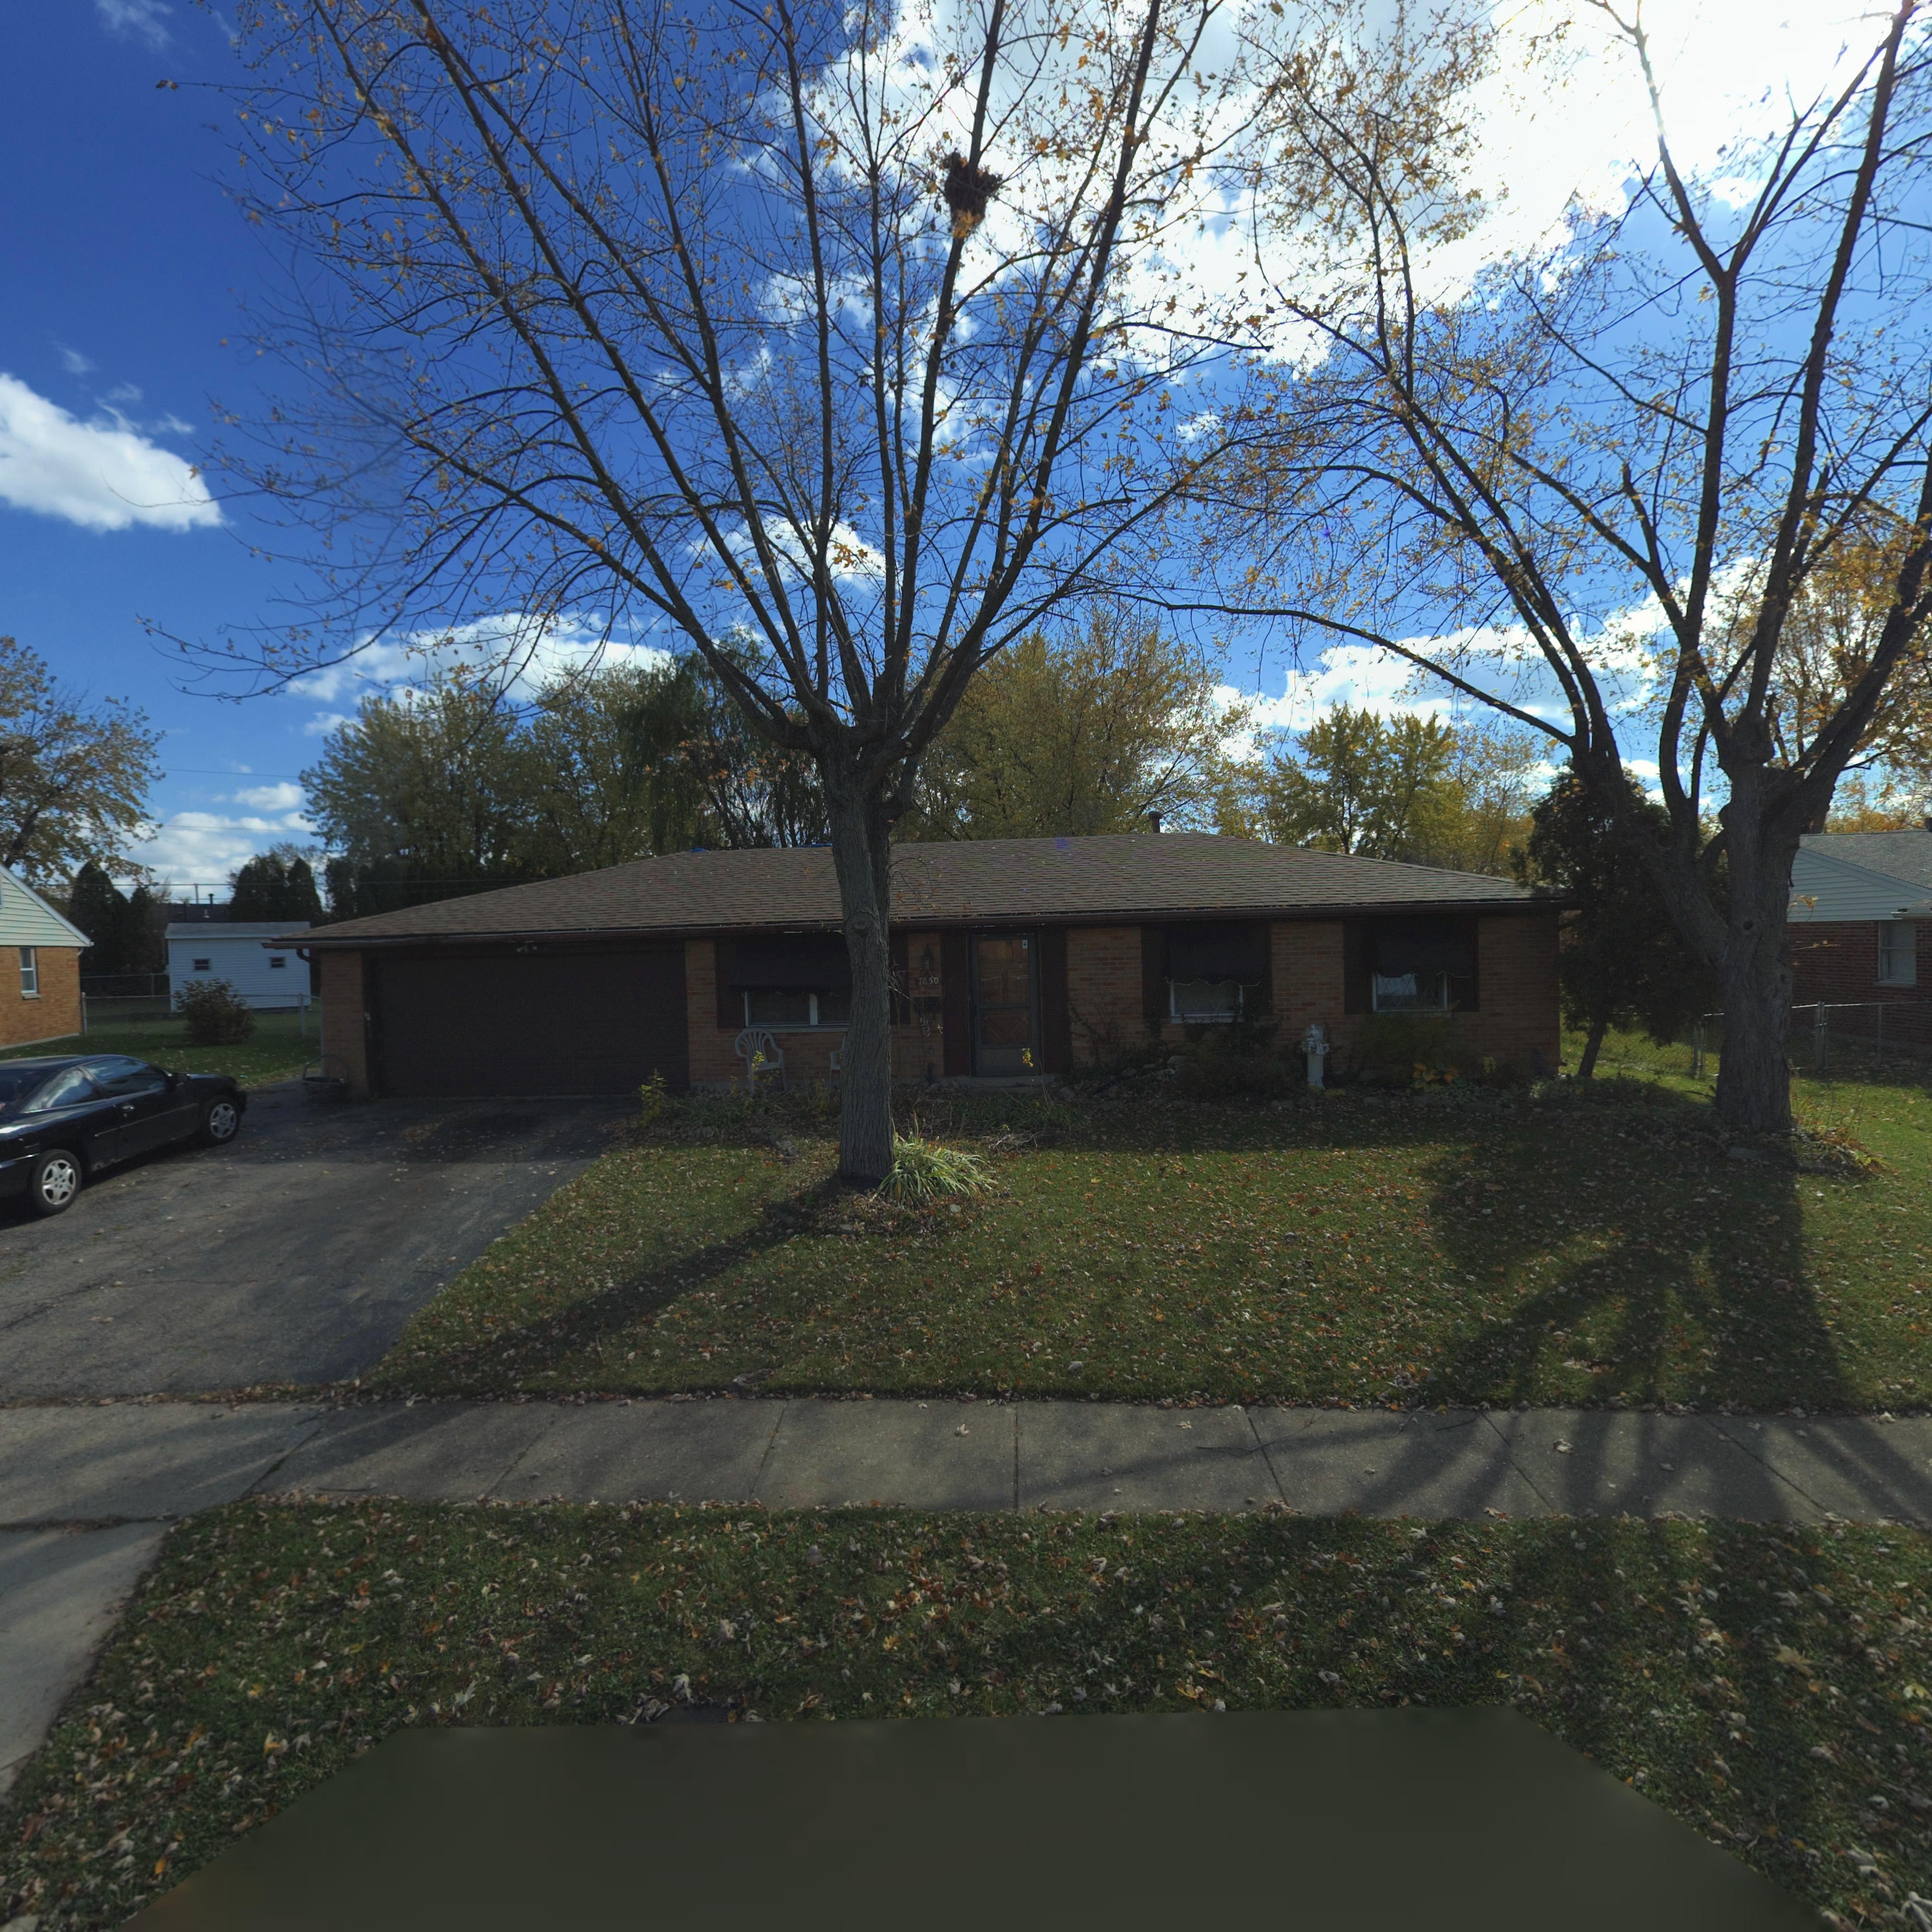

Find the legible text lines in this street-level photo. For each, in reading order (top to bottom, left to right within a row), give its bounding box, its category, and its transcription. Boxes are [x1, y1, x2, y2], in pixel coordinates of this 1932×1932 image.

[918, 976, 939, 985] StreetNumber: 7650